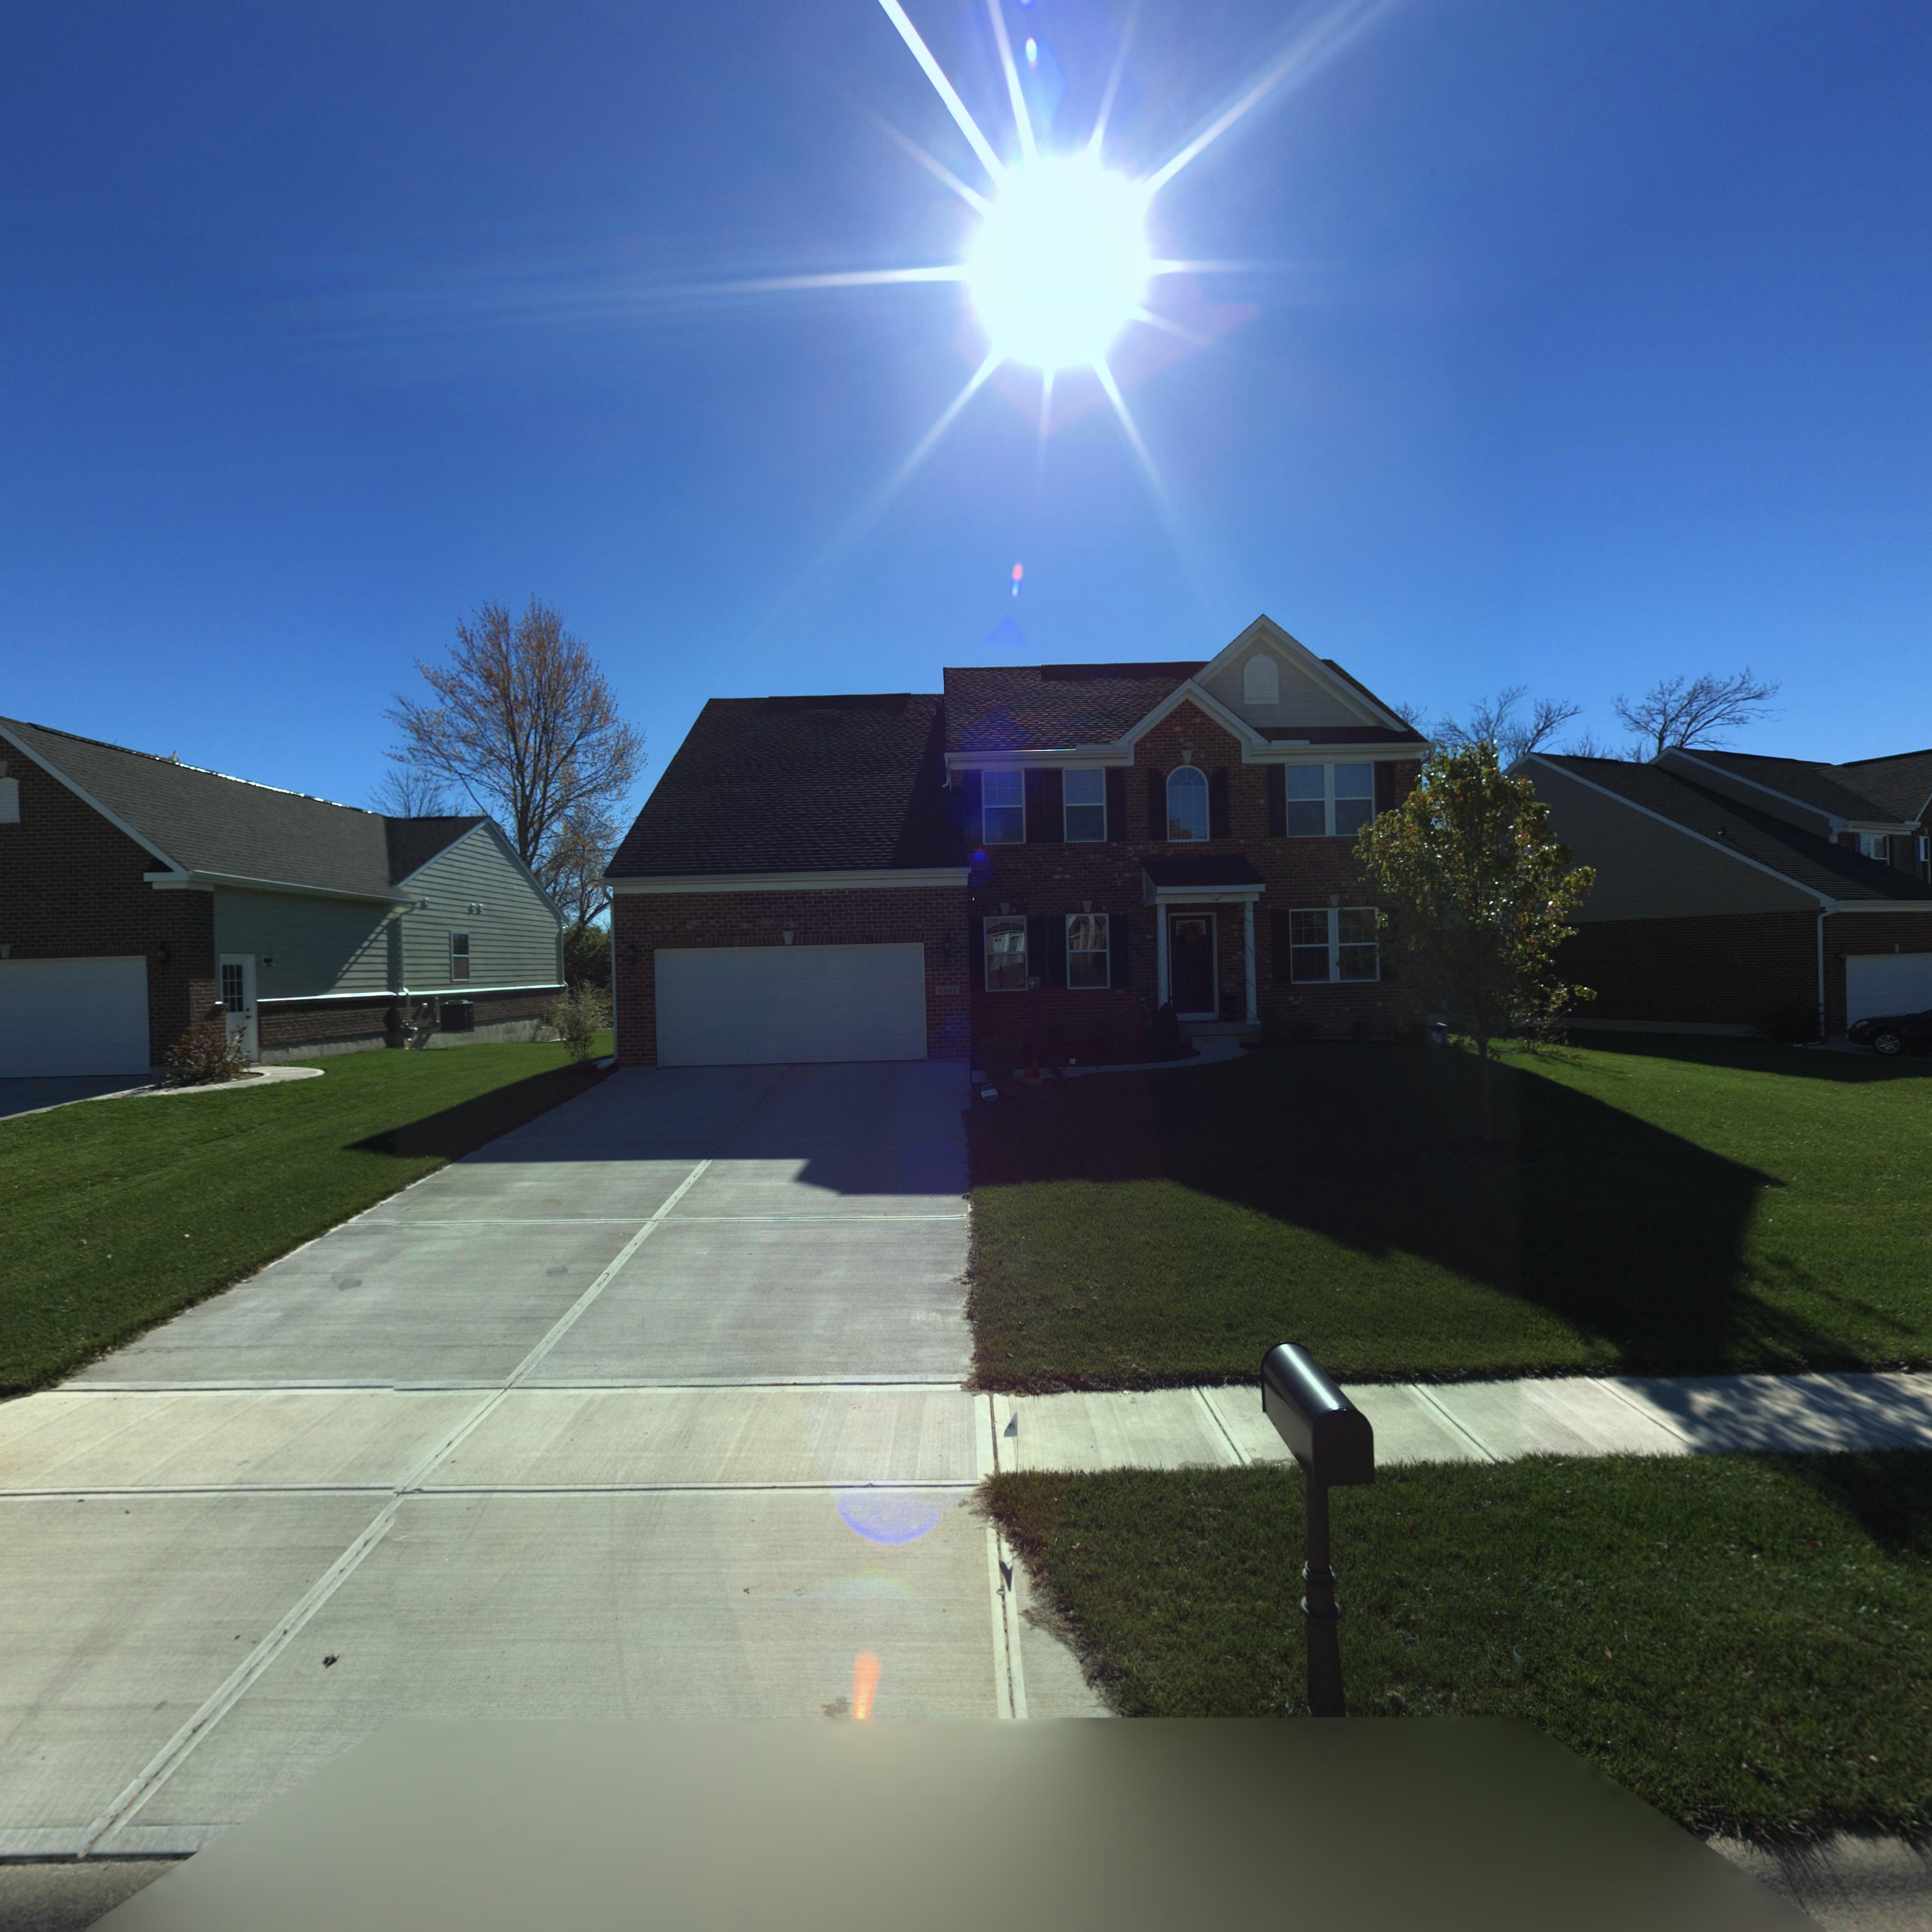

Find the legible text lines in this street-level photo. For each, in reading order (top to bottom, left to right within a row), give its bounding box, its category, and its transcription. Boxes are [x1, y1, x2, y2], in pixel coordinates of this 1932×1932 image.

[938, 987, 957, 994] StreetNumber: 6882